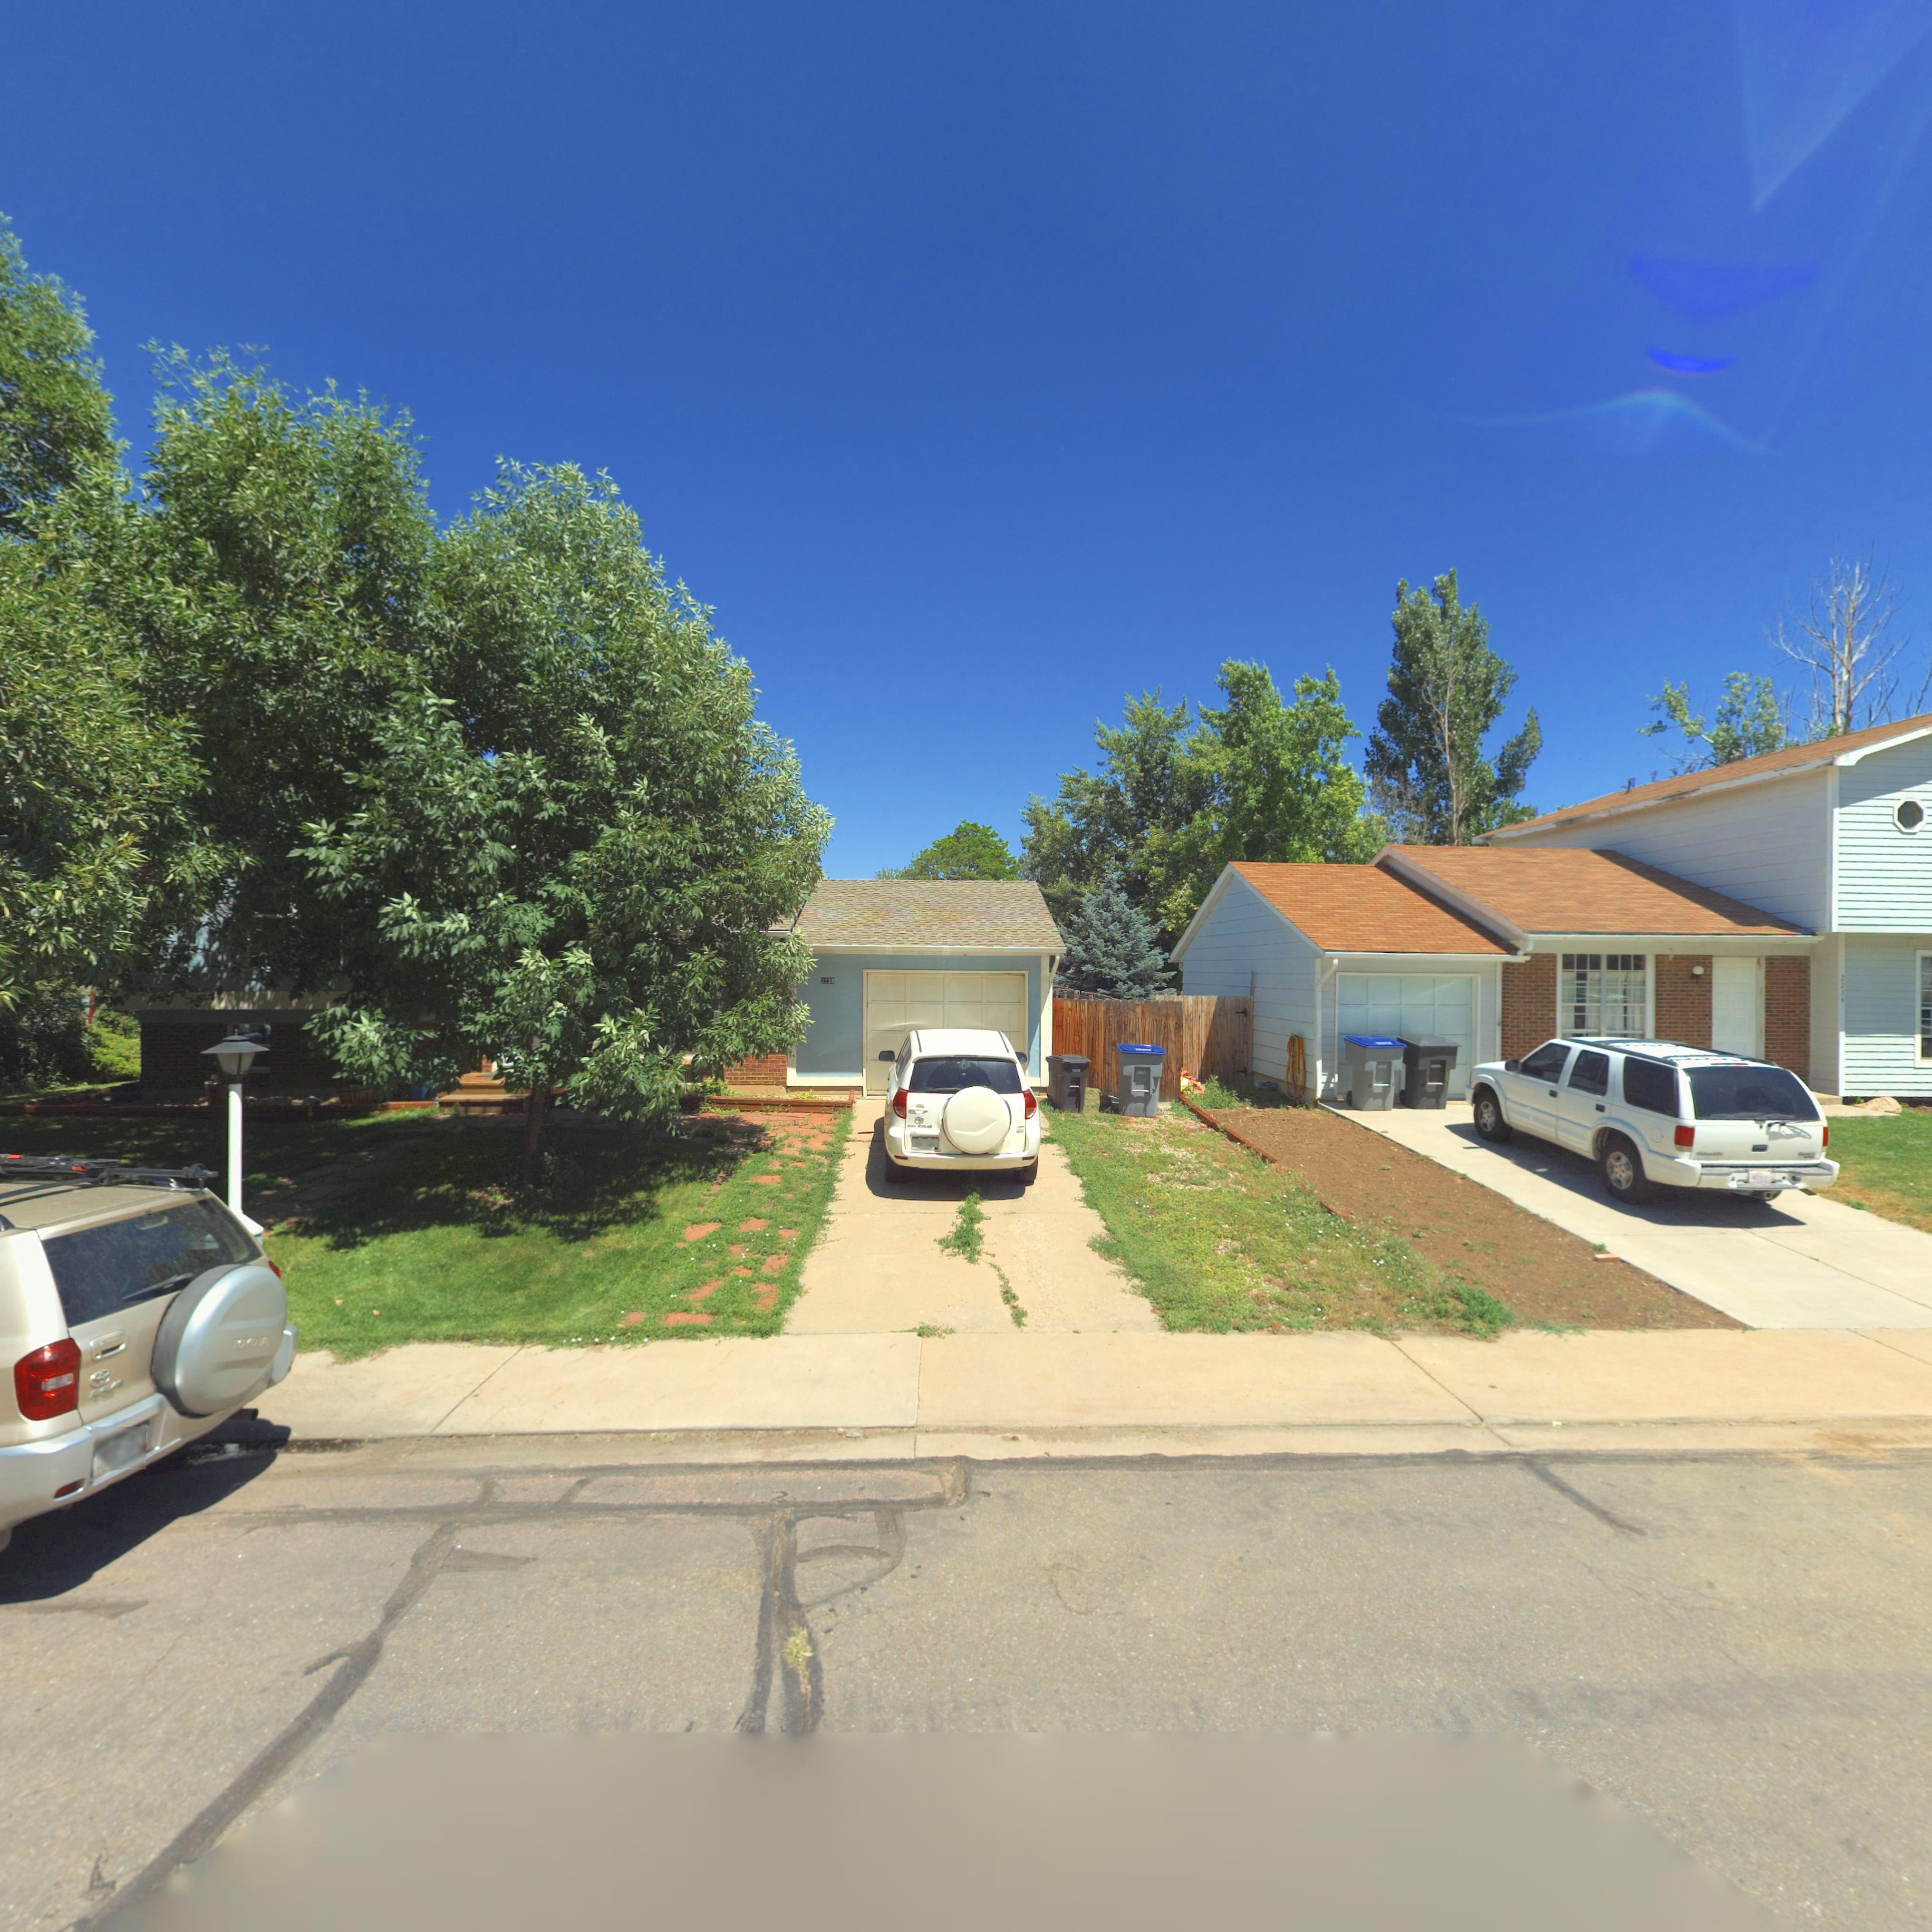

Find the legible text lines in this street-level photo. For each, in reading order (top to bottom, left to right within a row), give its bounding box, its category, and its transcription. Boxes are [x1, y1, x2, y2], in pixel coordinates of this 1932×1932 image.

[821, 977, 834, 984] StreetNumber: 2238
[1839, 974, 1845, 1004] StreetNumber: 22**